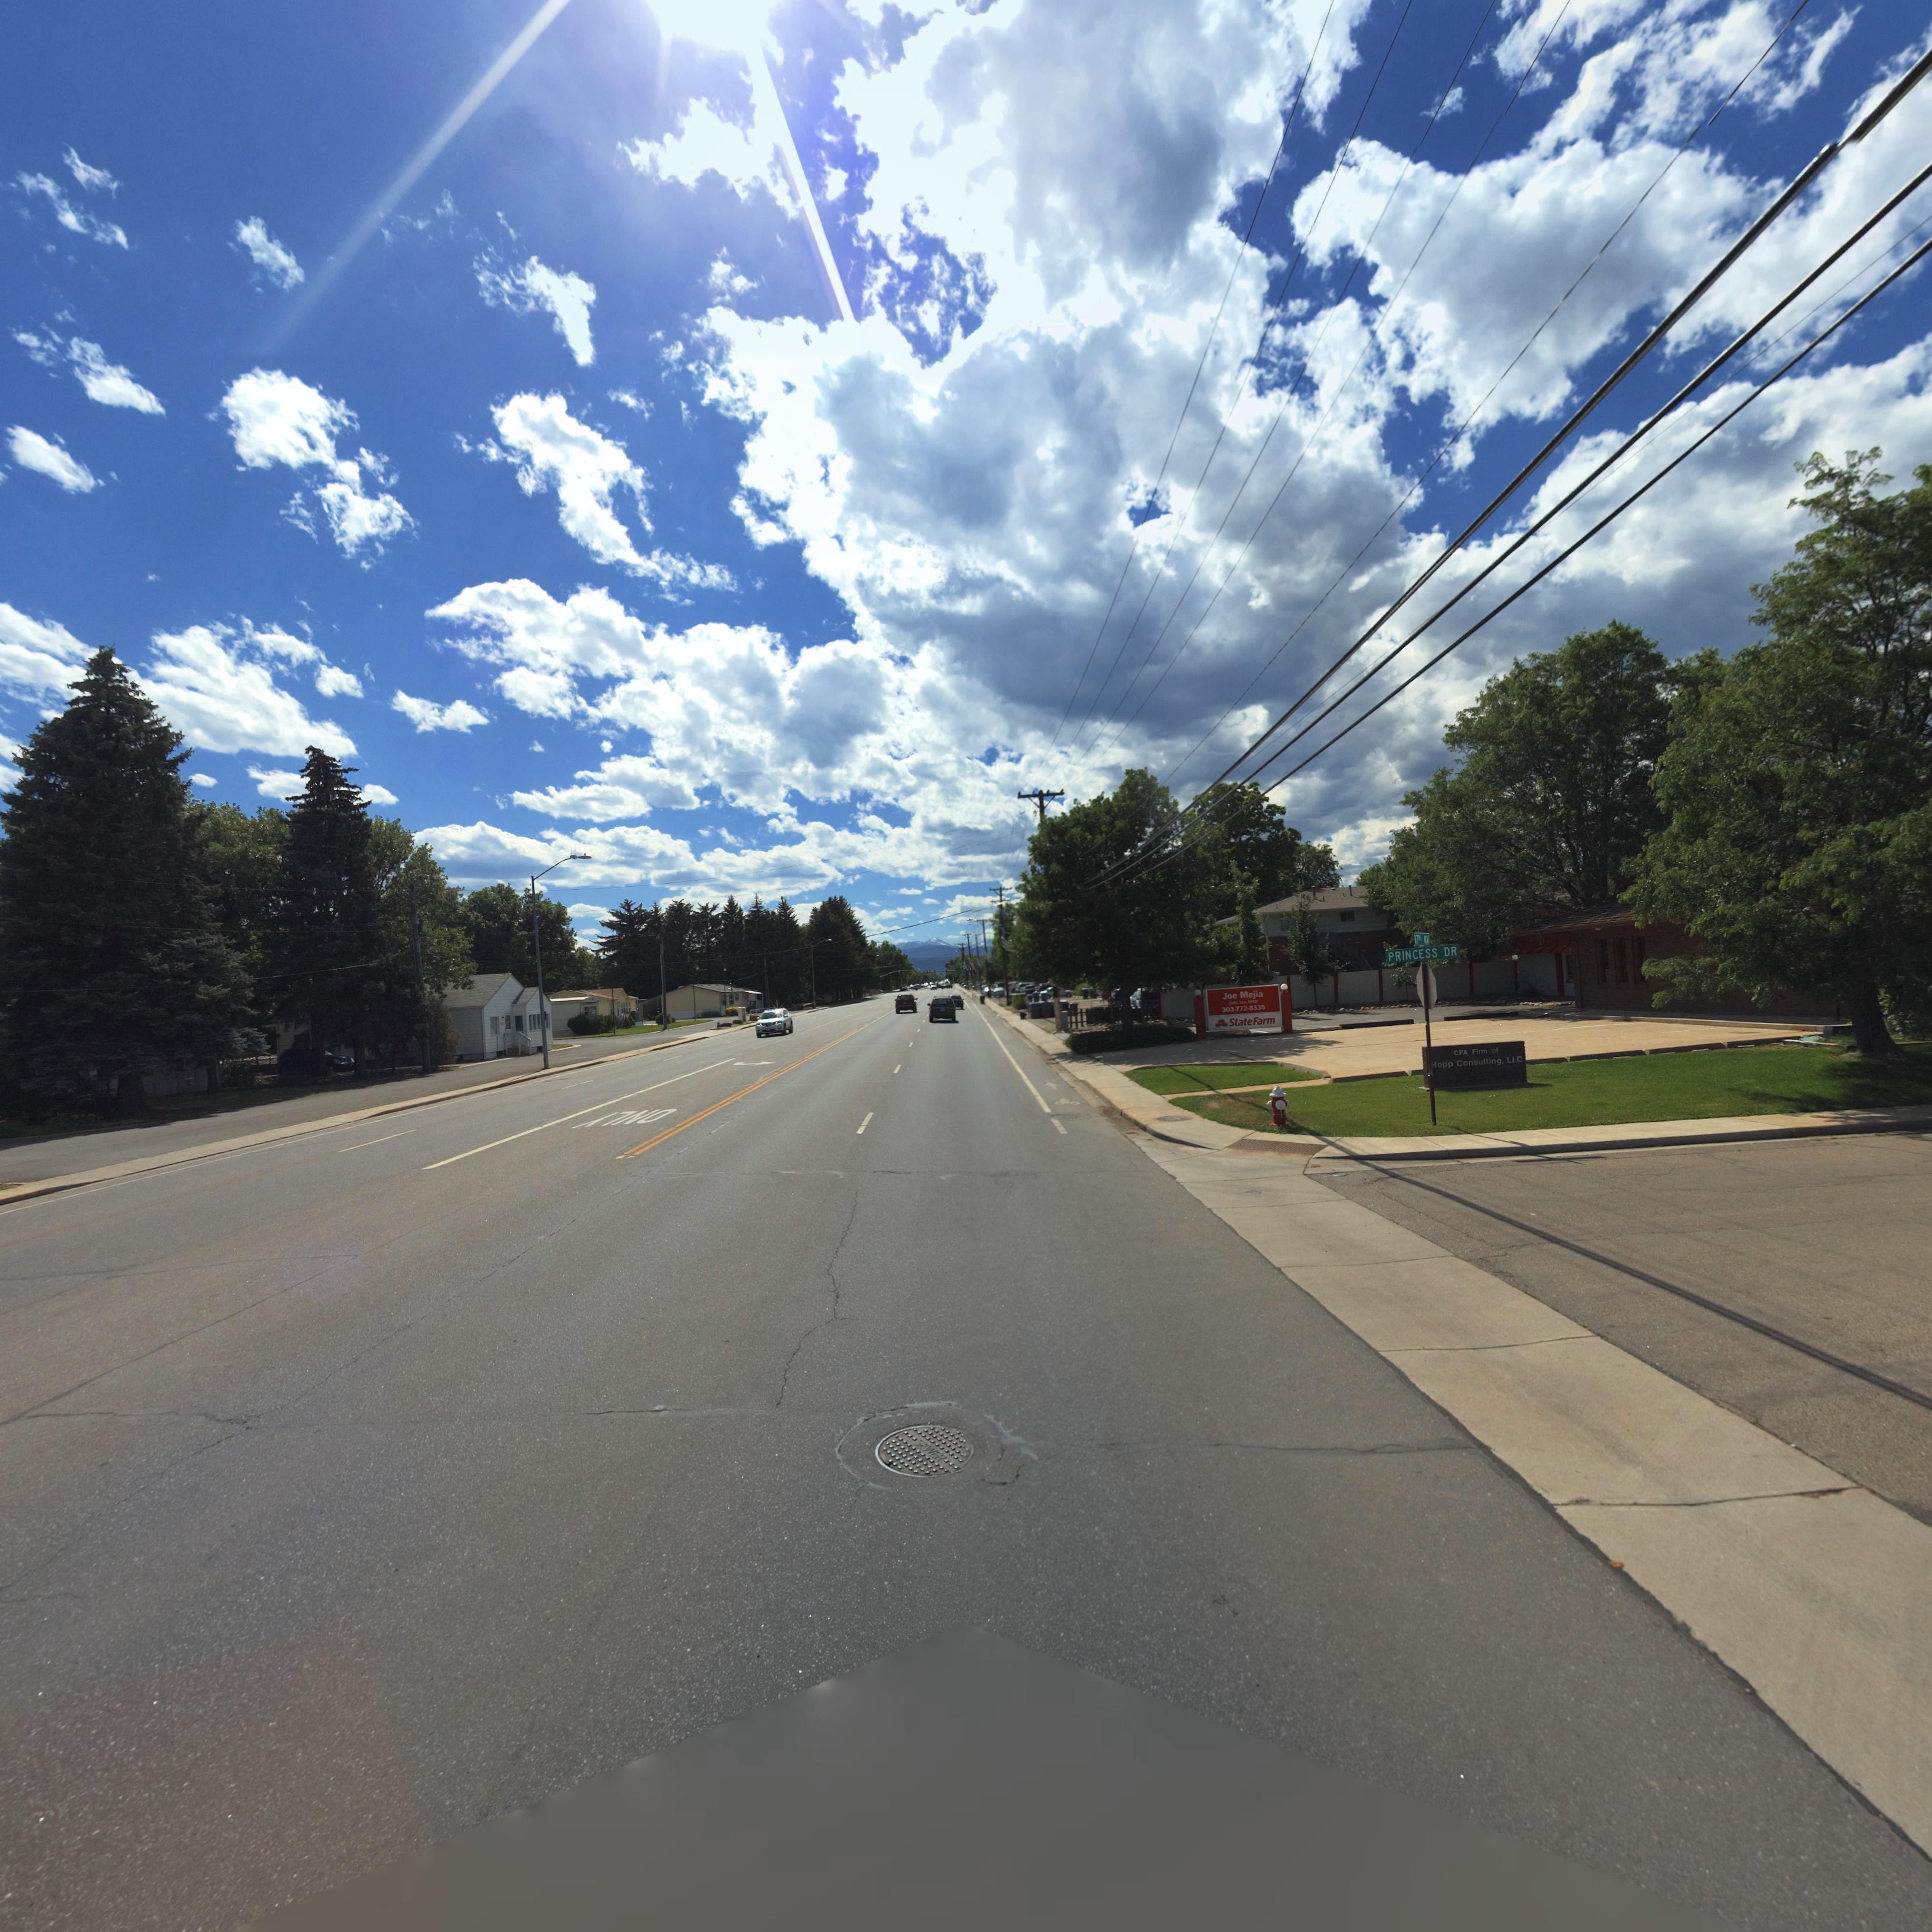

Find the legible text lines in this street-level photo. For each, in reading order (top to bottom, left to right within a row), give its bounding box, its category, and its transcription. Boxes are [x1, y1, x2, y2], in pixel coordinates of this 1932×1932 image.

[1414, 934, 1430, 945] StreetName: 17** AV
[1387, 945, 1458, 962] StreetName: PRINCESS DR
[1228, 1015, 1276, 1027] BusinessName: State Farm
[1453, 1046, 1498, 1056] BusinessName: CPA Firm of
[1430, 1055, 1523, 1069] BusinessName: *opp Consulting, LLC